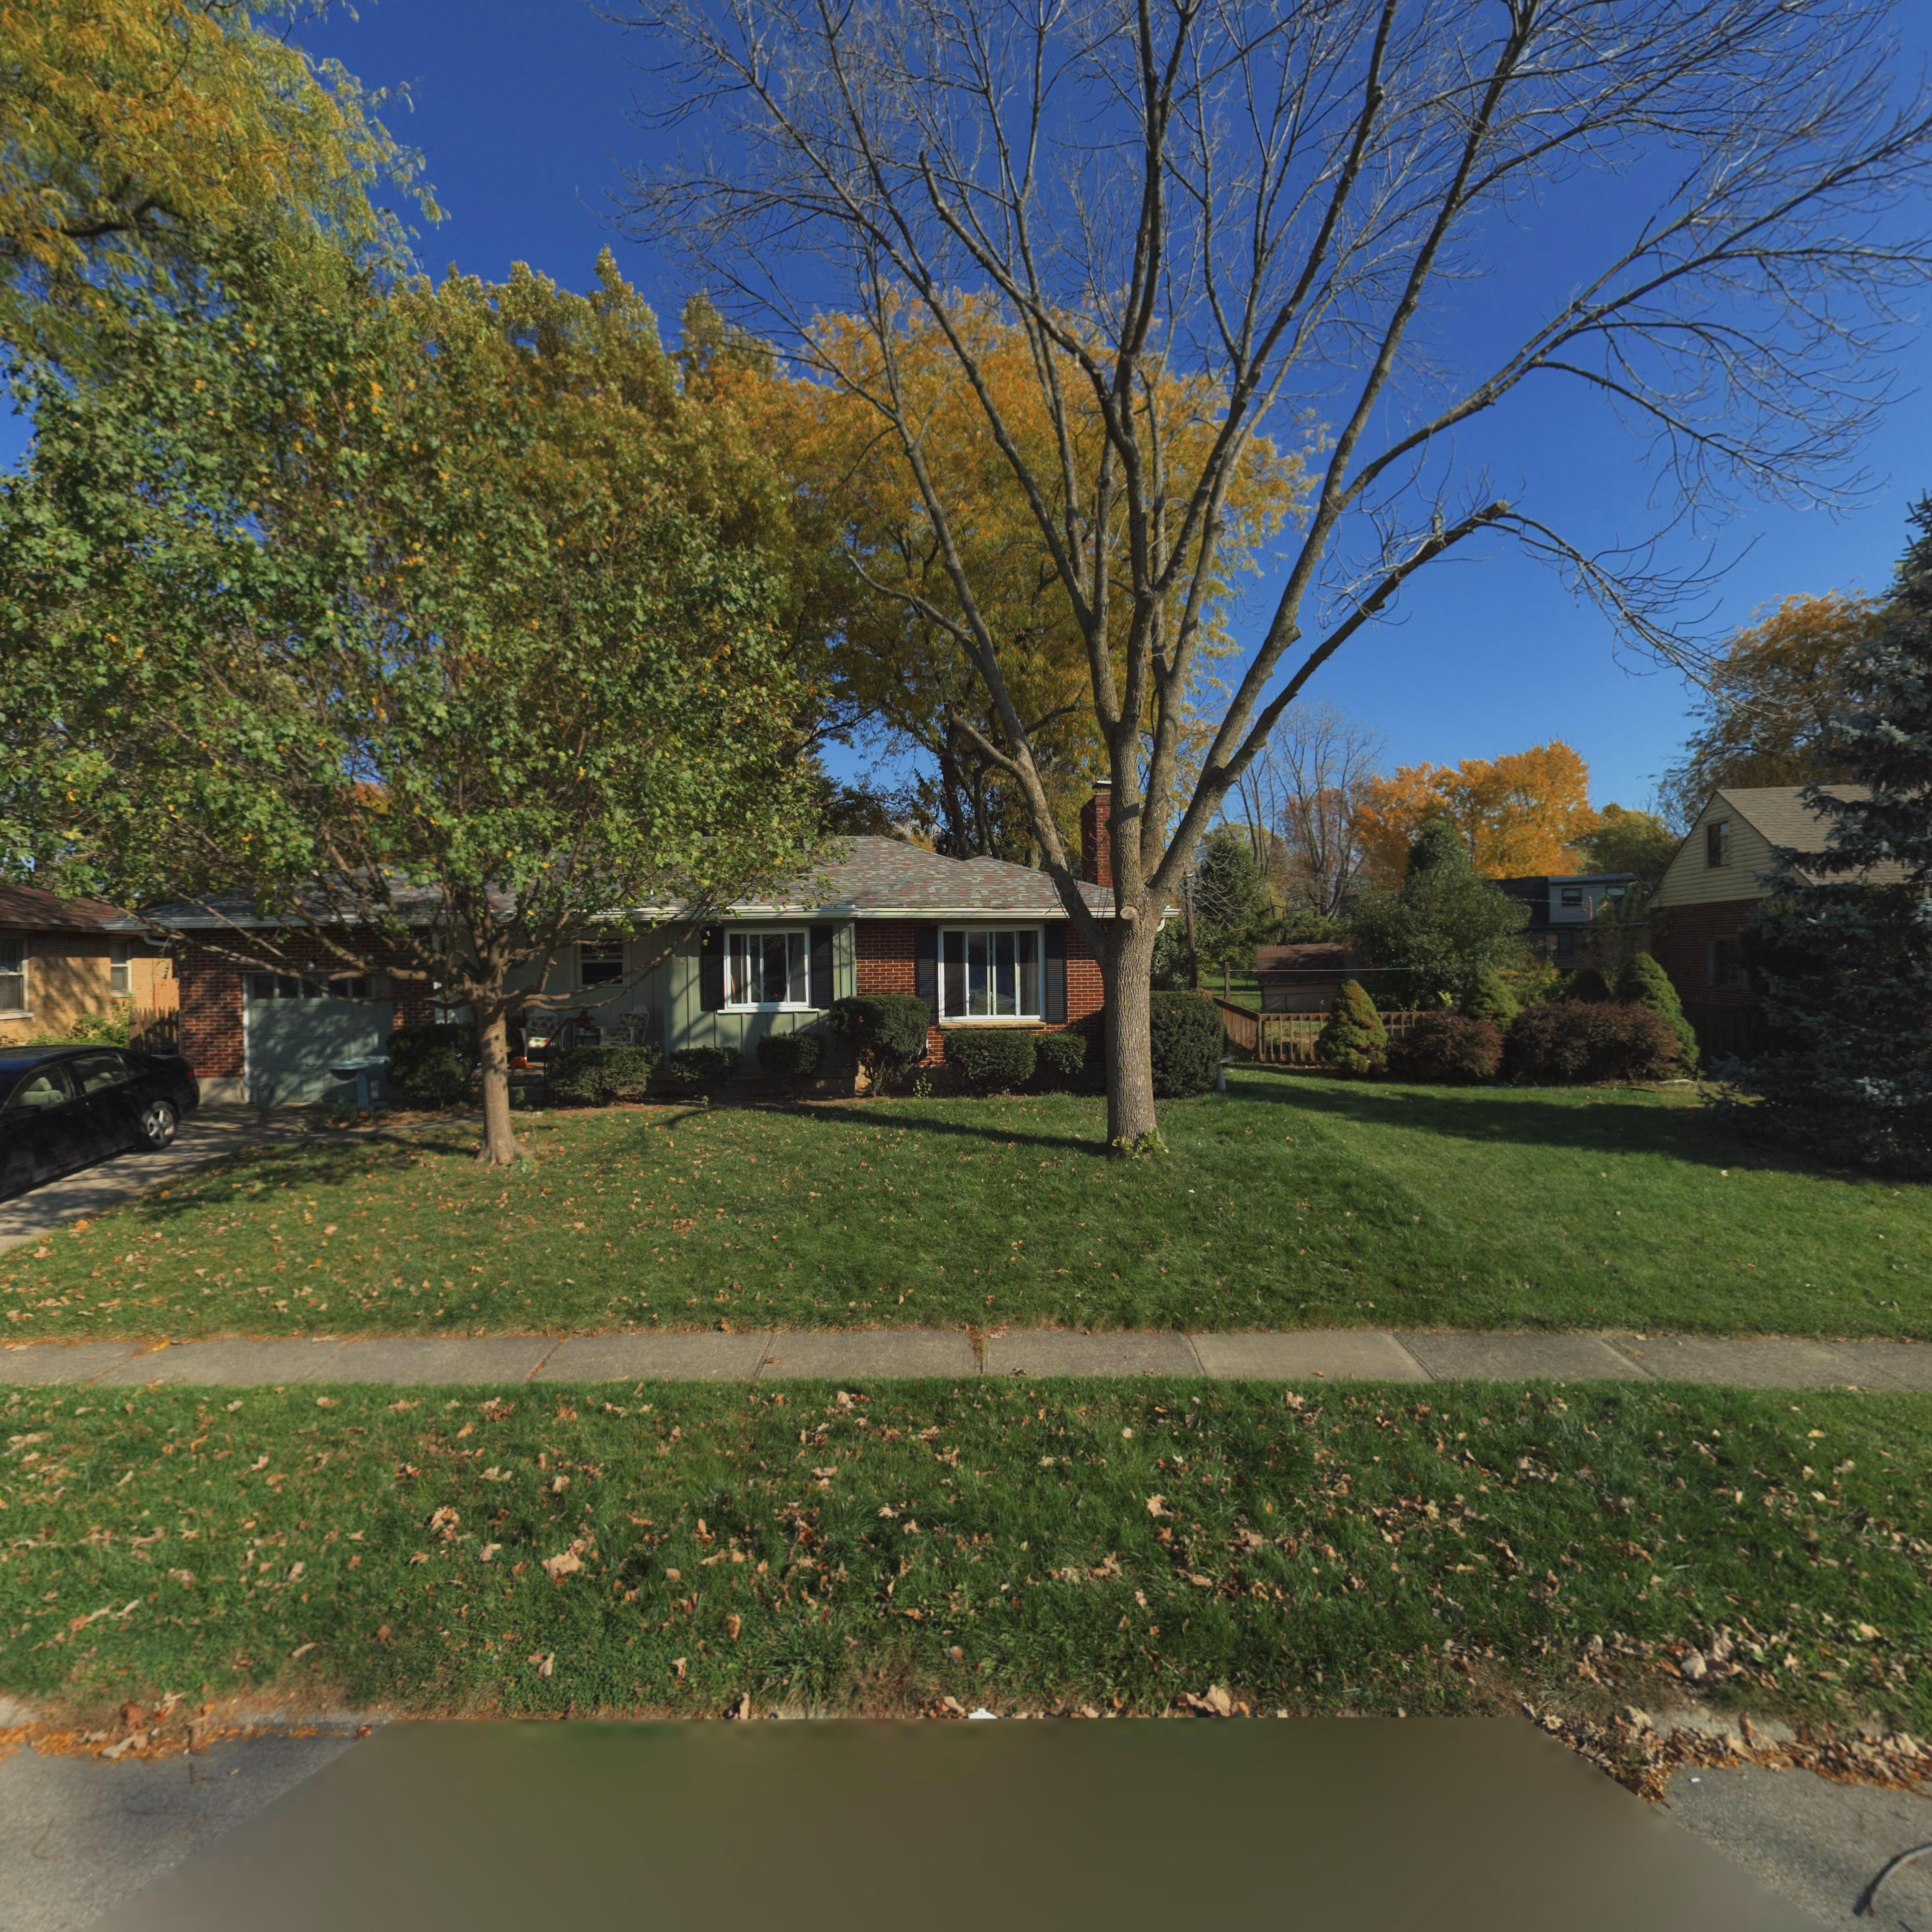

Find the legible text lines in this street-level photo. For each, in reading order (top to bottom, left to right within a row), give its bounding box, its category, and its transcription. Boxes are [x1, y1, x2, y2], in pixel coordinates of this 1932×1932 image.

[668, 957, 686, 966] StreetNumber: 3762